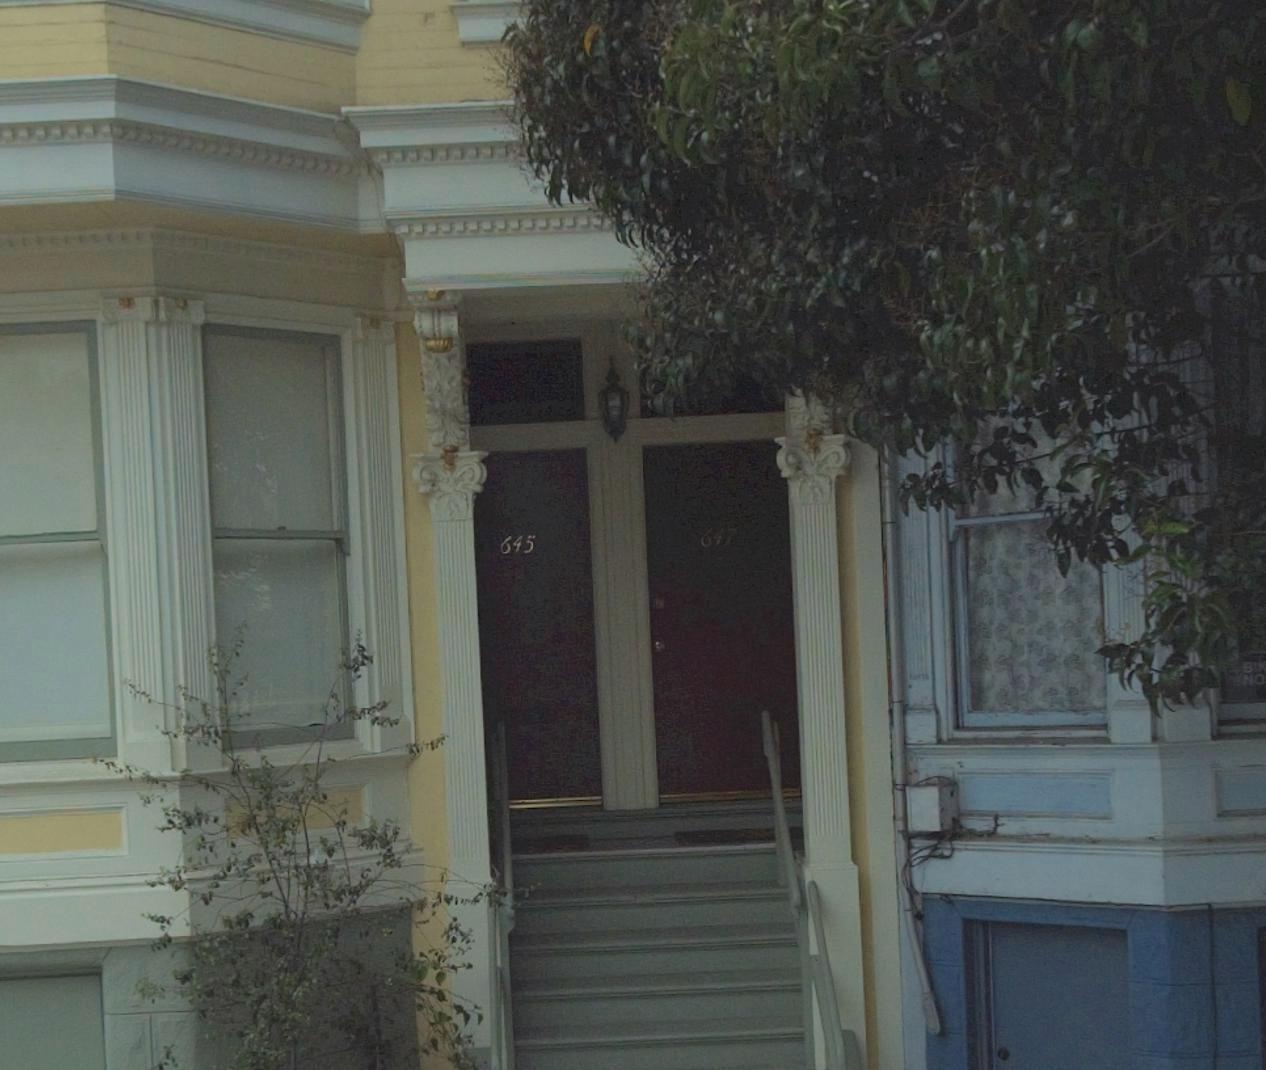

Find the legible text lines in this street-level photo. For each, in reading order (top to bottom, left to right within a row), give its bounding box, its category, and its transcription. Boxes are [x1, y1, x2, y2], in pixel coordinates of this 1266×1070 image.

[500, 534, 537, 556] StreetNumber: 645
[698, 527, 738, 548] StreetNumber: 647